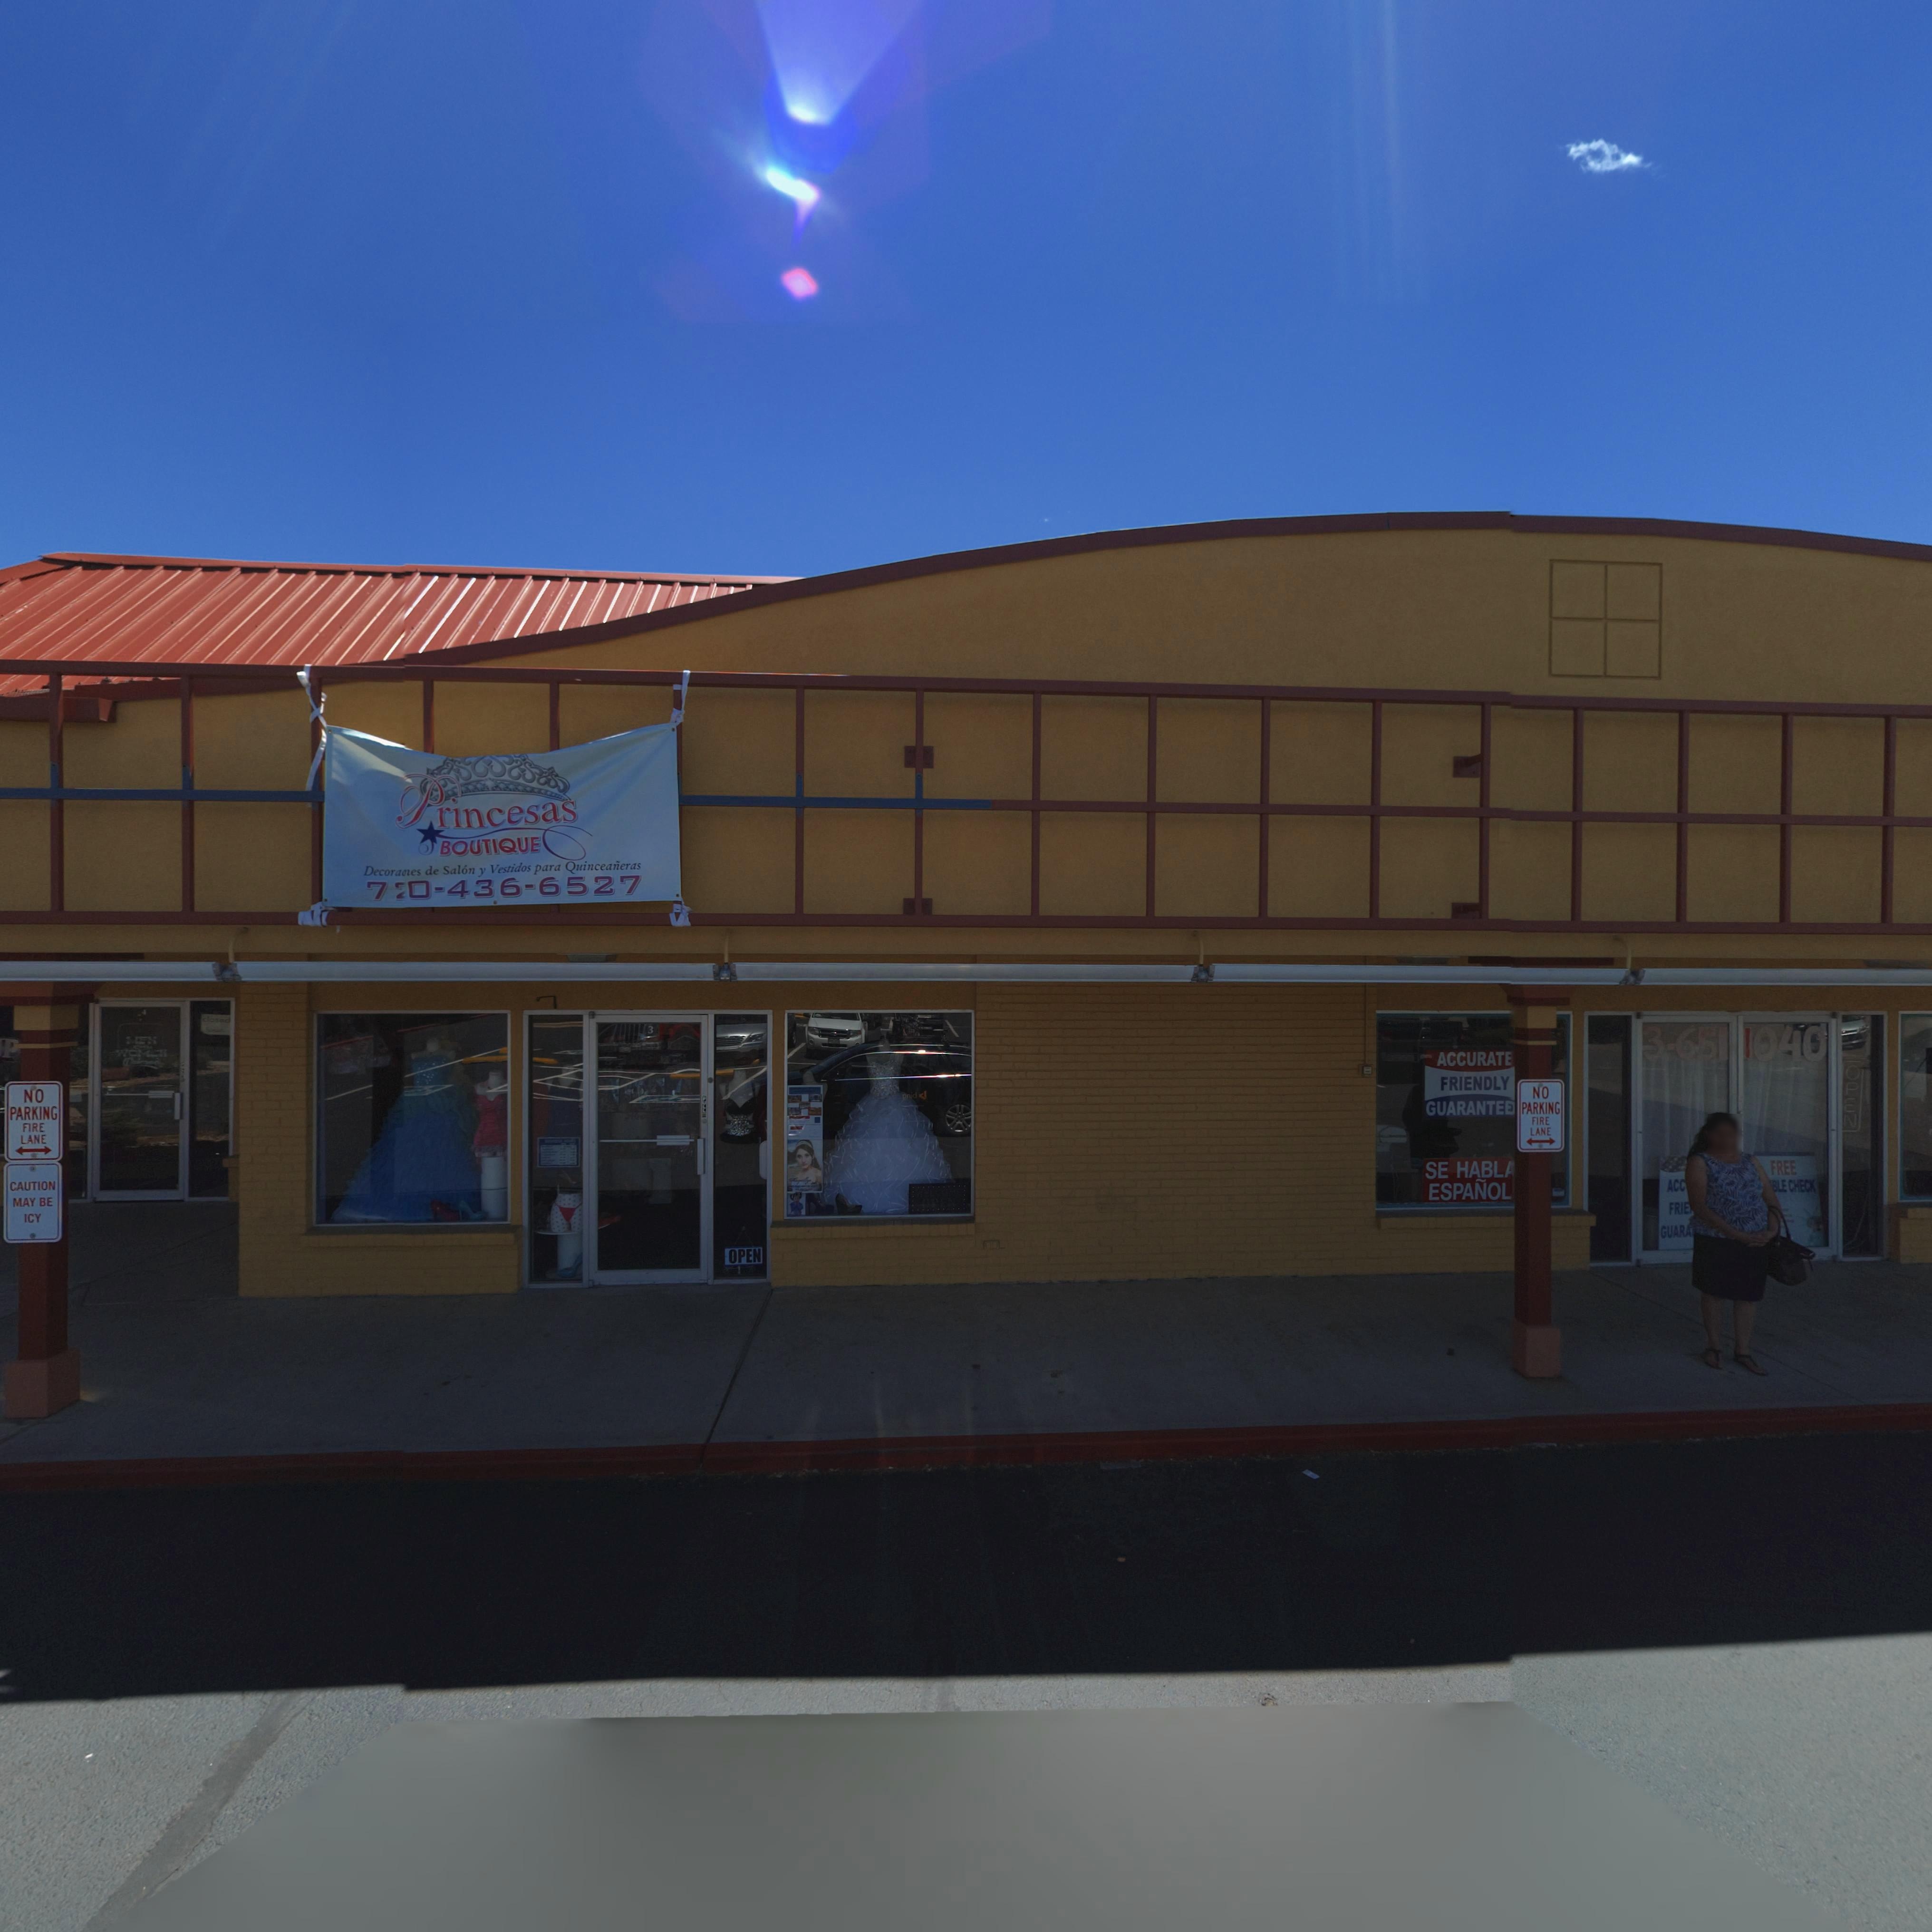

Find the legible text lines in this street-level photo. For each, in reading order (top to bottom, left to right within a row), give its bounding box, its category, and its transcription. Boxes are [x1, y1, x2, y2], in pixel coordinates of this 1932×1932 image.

[392, 773, 581, 831] BusinessName: Princesas
[438, 834, 542, 857] BusinessName: BOUTIQUE
[647, 1025, 654, 1034] StreetNumber: 3
[1, 1037, 19, 1059] StreetNumber: P